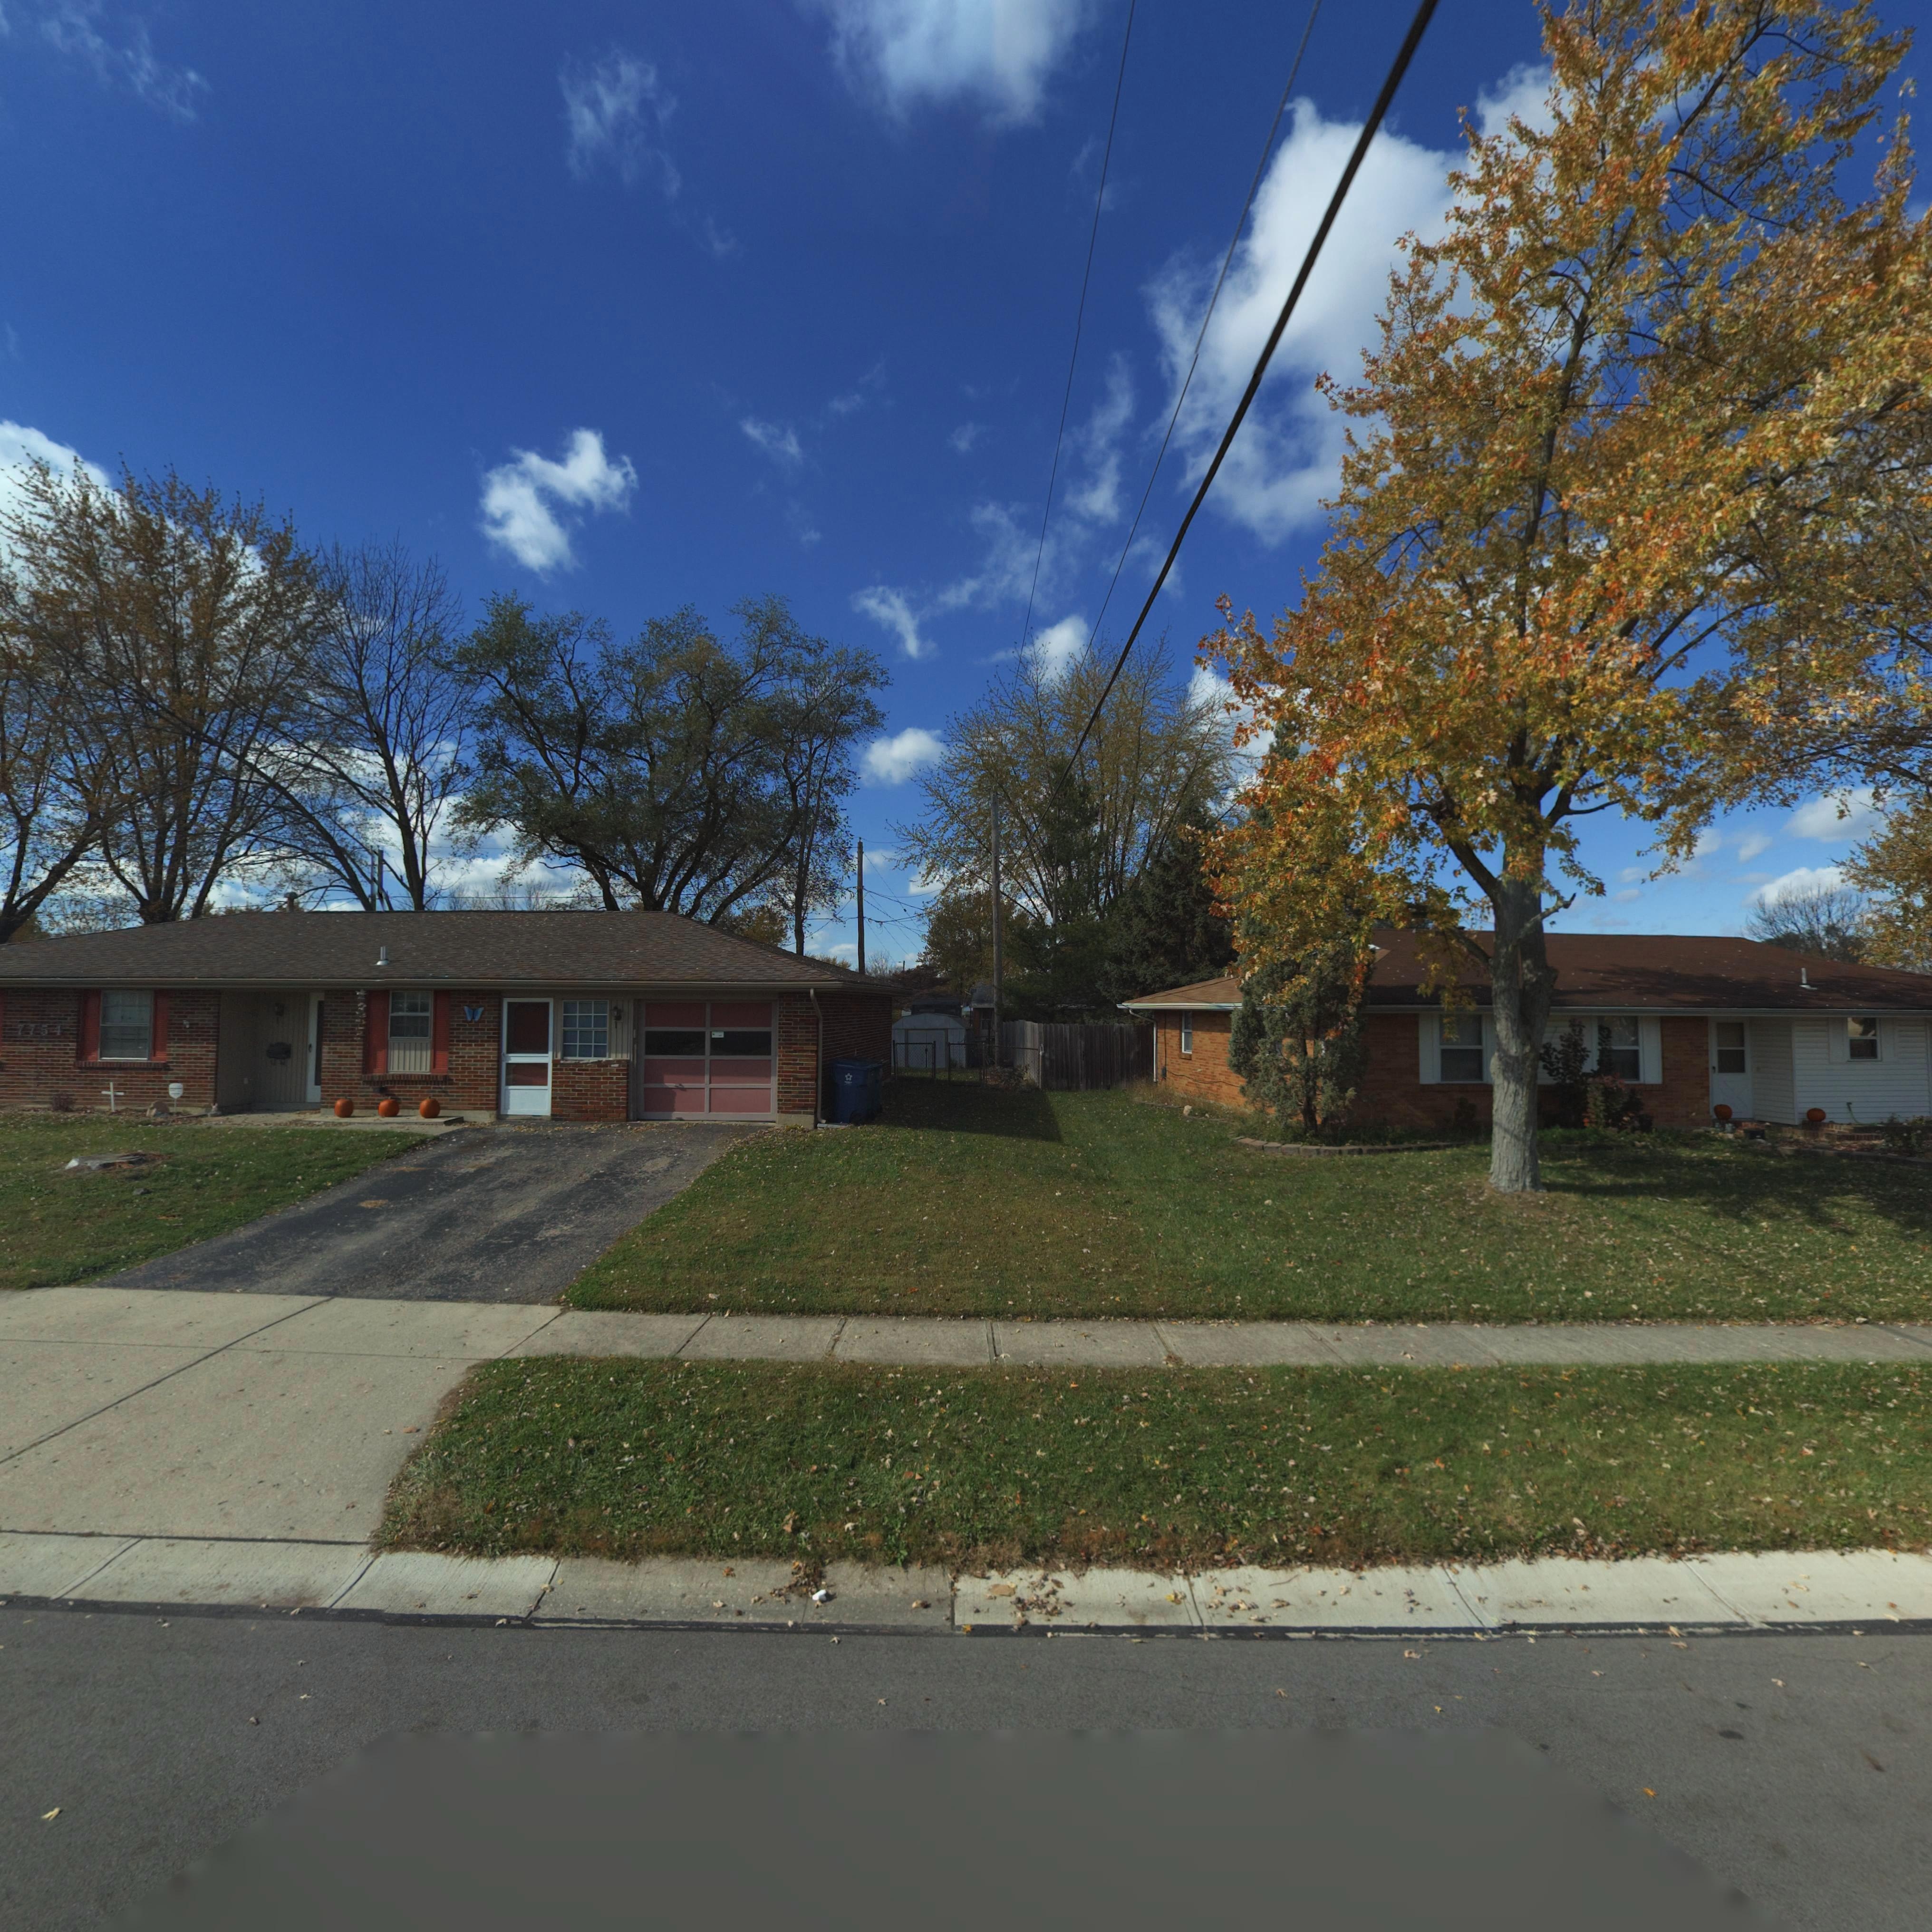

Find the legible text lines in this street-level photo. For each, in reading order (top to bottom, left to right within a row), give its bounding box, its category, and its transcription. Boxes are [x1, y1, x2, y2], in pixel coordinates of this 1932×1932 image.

[16, 1024, 61, 1036] StreetNumber: 7754